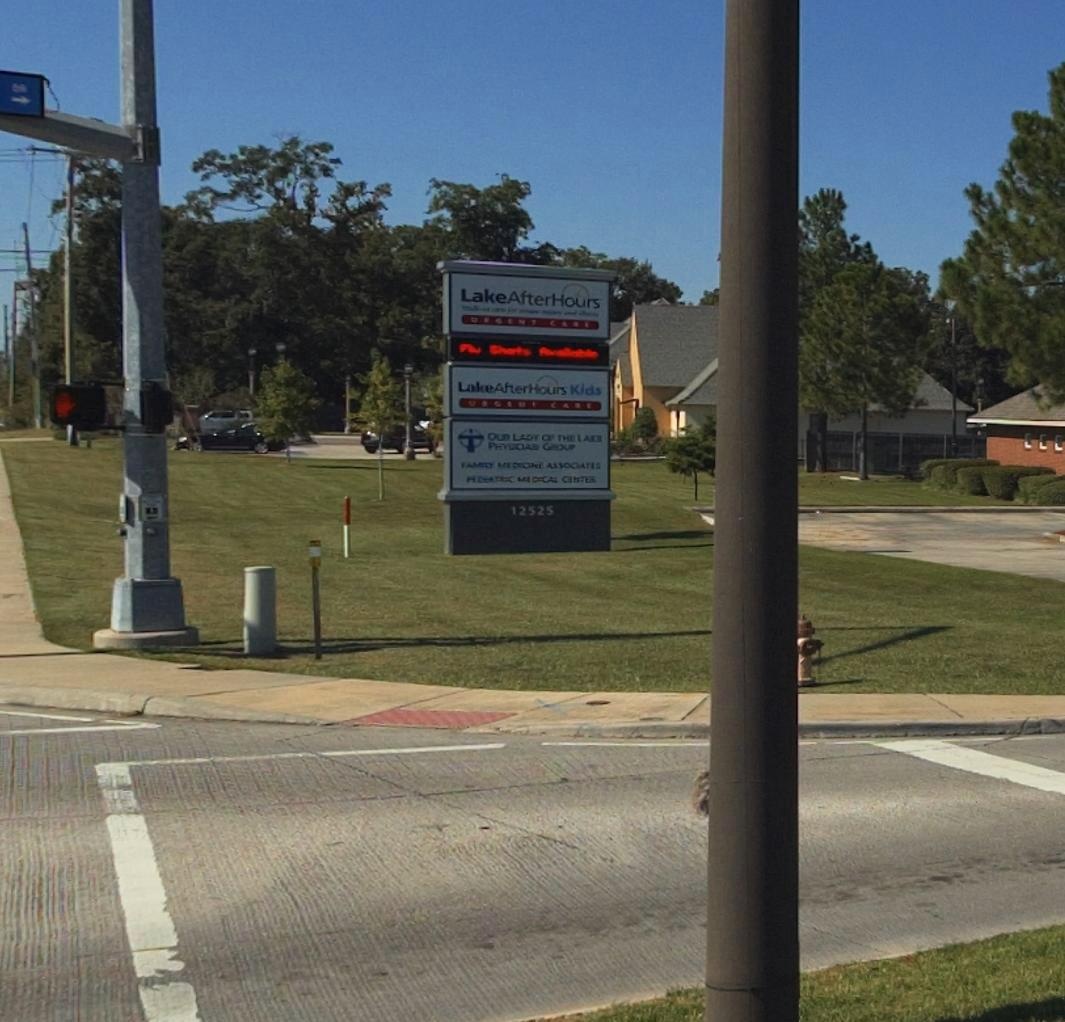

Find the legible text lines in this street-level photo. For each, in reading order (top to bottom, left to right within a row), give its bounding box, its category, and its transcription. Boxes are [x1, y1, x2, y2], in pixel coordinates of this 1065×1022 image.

[461, 288, 601, 310] BusinessName: LakeAfterHours
[470, 316, 590, 329] None: URGENT CARE
[457, 381, 602, 396] BusinessName: LakeAfterHours Kids
[468, 399, 592, 410] None: URGENT CARE
[487, 432, 604, 444] BusinessName: OUR LAST OF THE lAKE
[487, 441, 576, 451] None: PHYSICIAN GROUP
[460, 460, 602, 469] None: FAM**Y ME**** ASSOCIATES
[466, 475, 597, 484] None: PEDIATRIC MEDICAL CENTER
[510, 504, 555, 517] StreetNumber: 12525